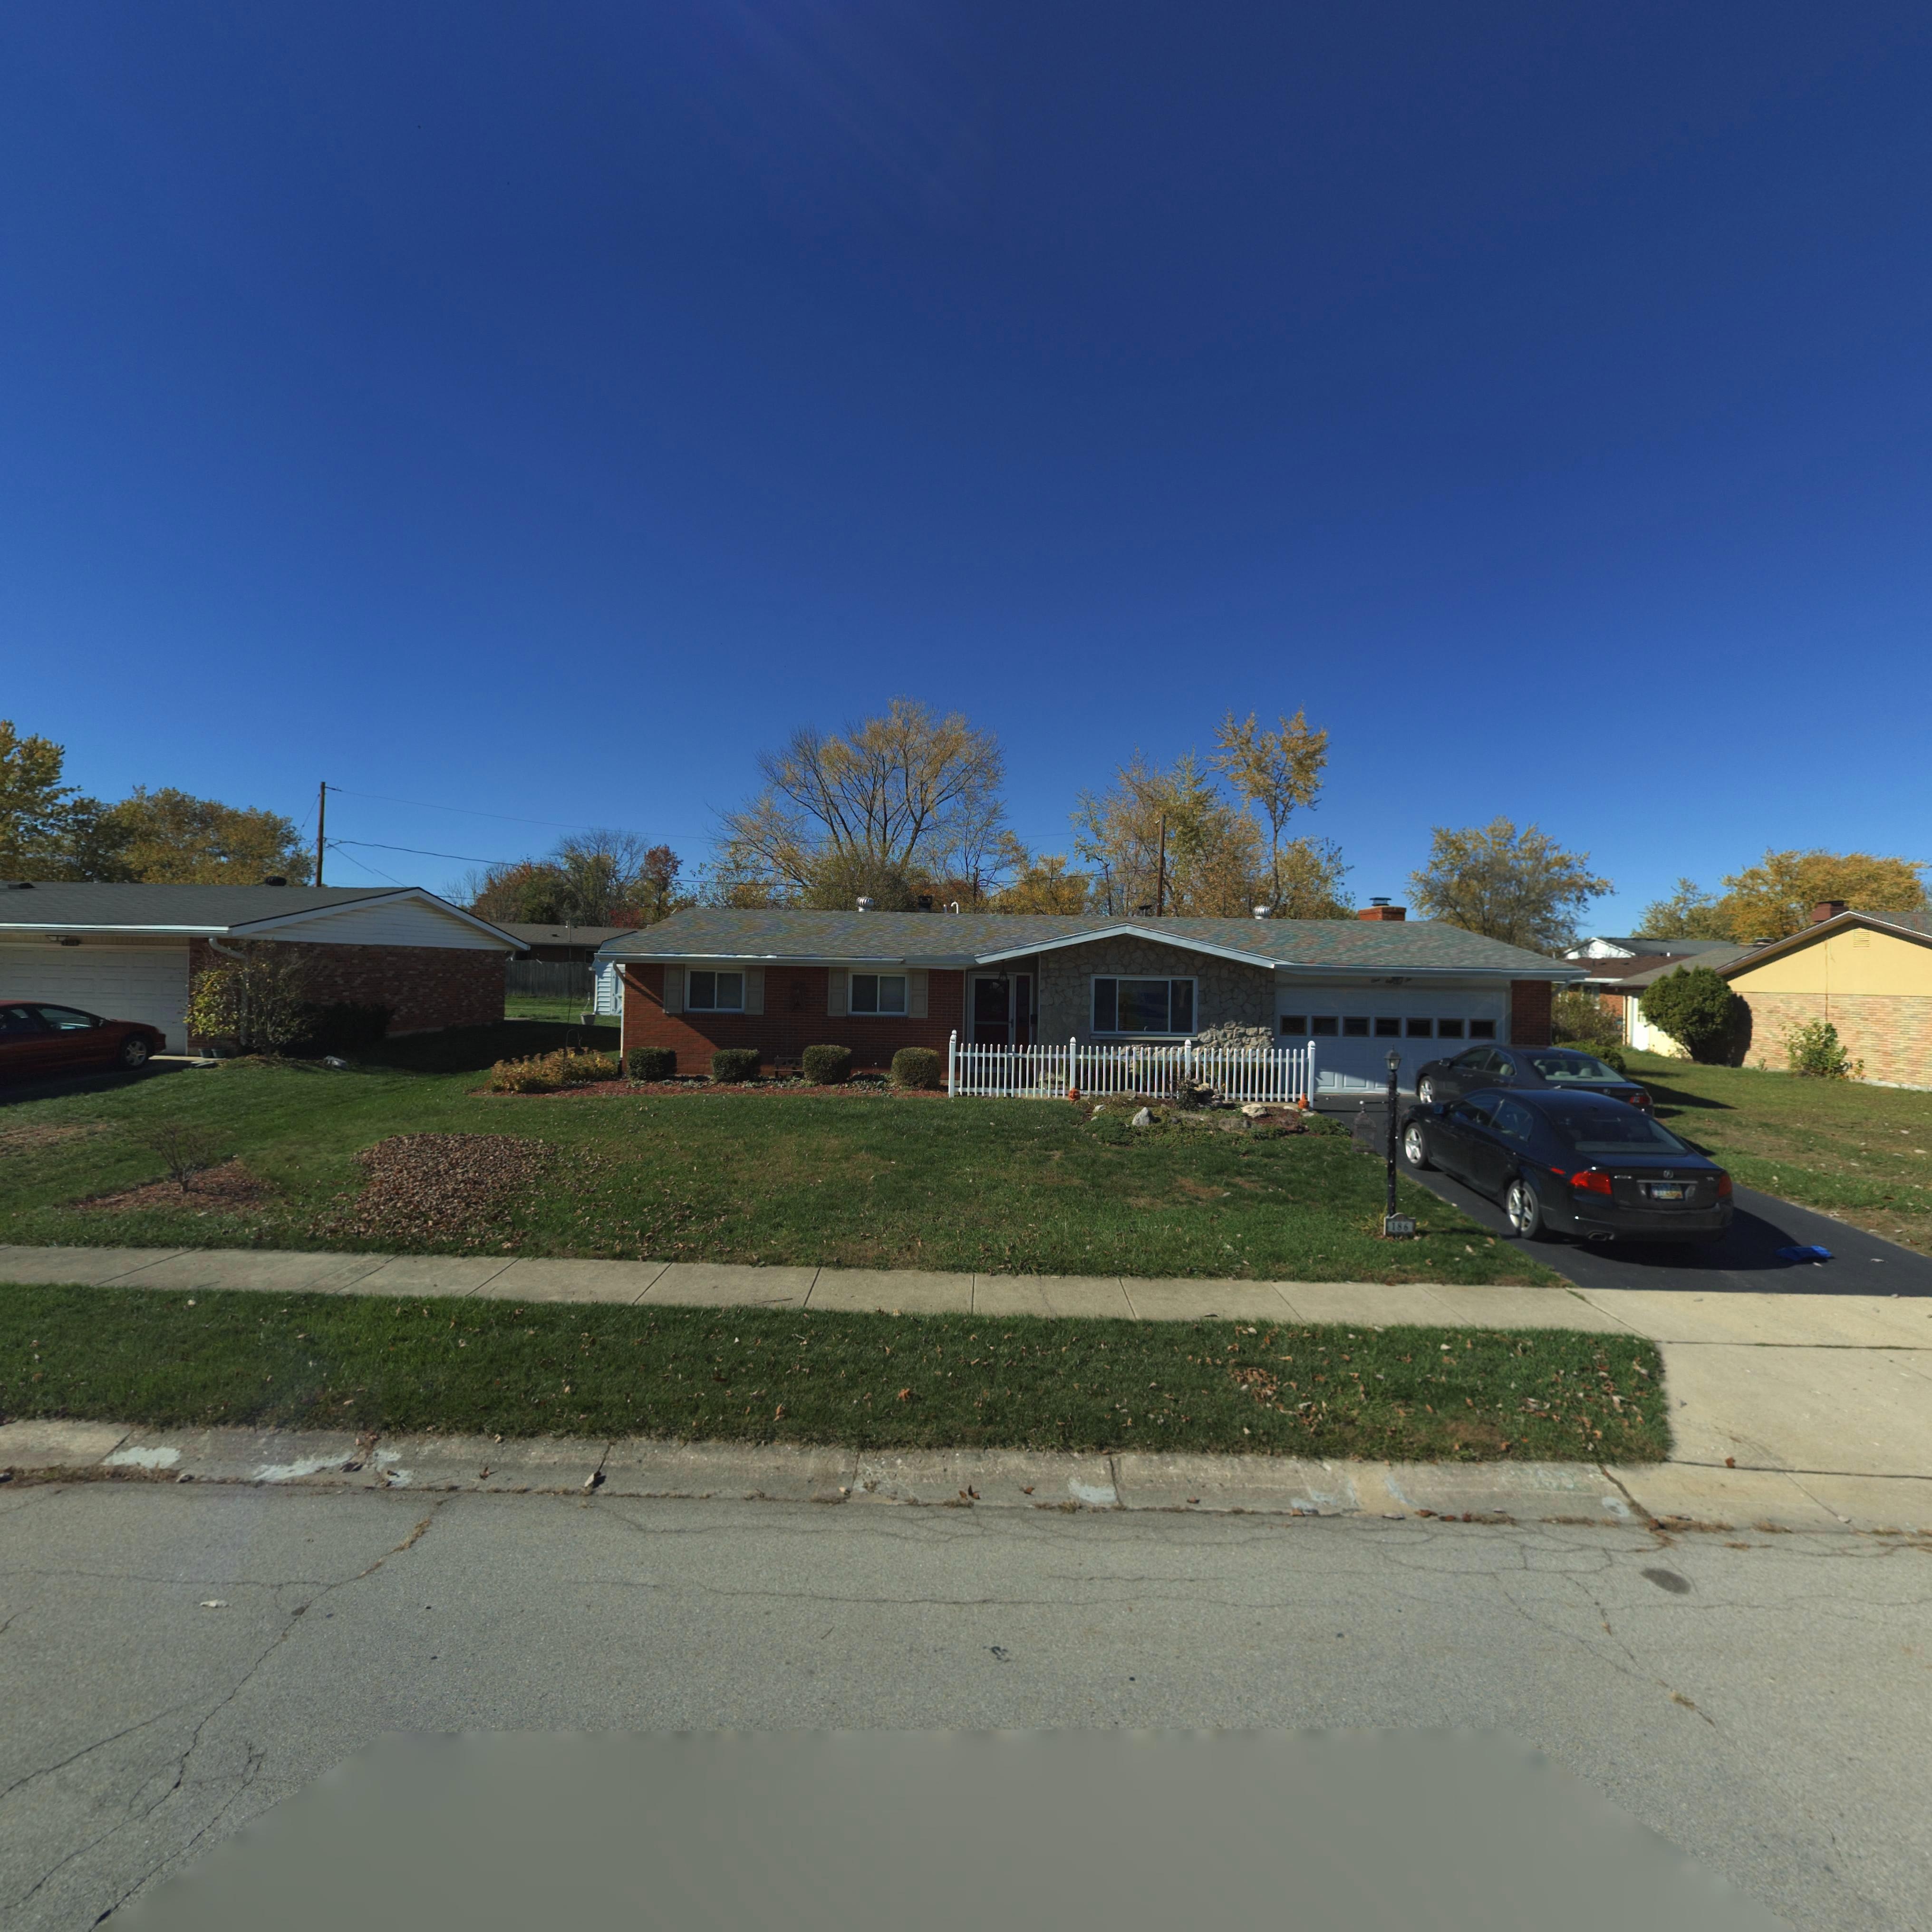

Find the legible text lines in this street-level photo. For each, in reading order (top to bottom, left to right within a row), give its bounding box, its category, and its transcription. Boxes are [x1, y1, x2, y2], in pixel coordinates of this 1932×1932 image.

[1391, 1221, 1410, 1232] StreetNumber: 186